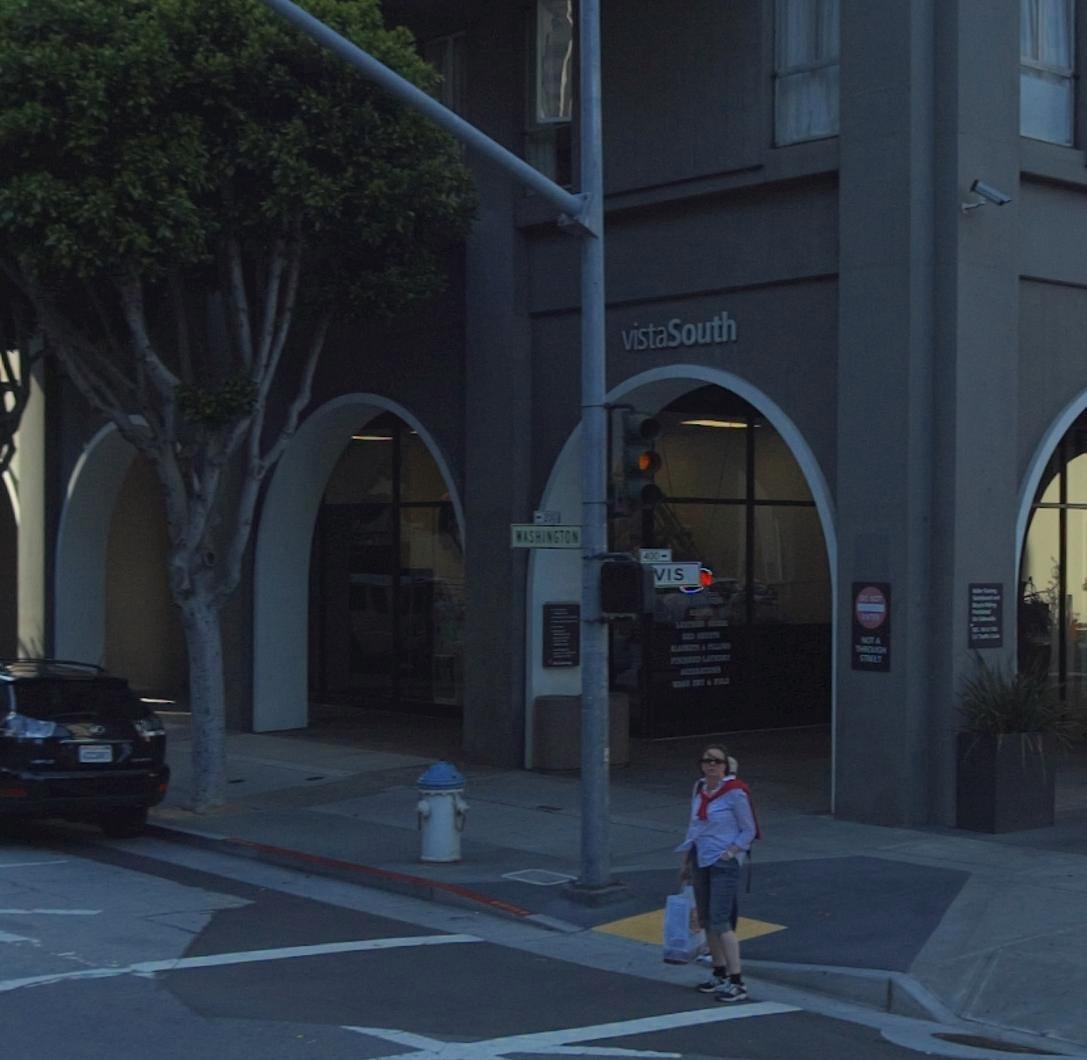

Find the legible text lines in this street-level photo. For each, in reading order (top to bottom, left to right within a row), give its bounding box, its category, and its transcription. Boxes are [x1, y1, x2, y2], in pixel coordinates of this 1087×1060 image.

[615, 308, 740, 354] BusinessName: vistaSouth
[512, 526, 581, 548] StreetName: WASHINGTON
[638, 548, 671, 563] StreetNumberRange: 400->
[647, 565, 688, 585] StreetName: VIS